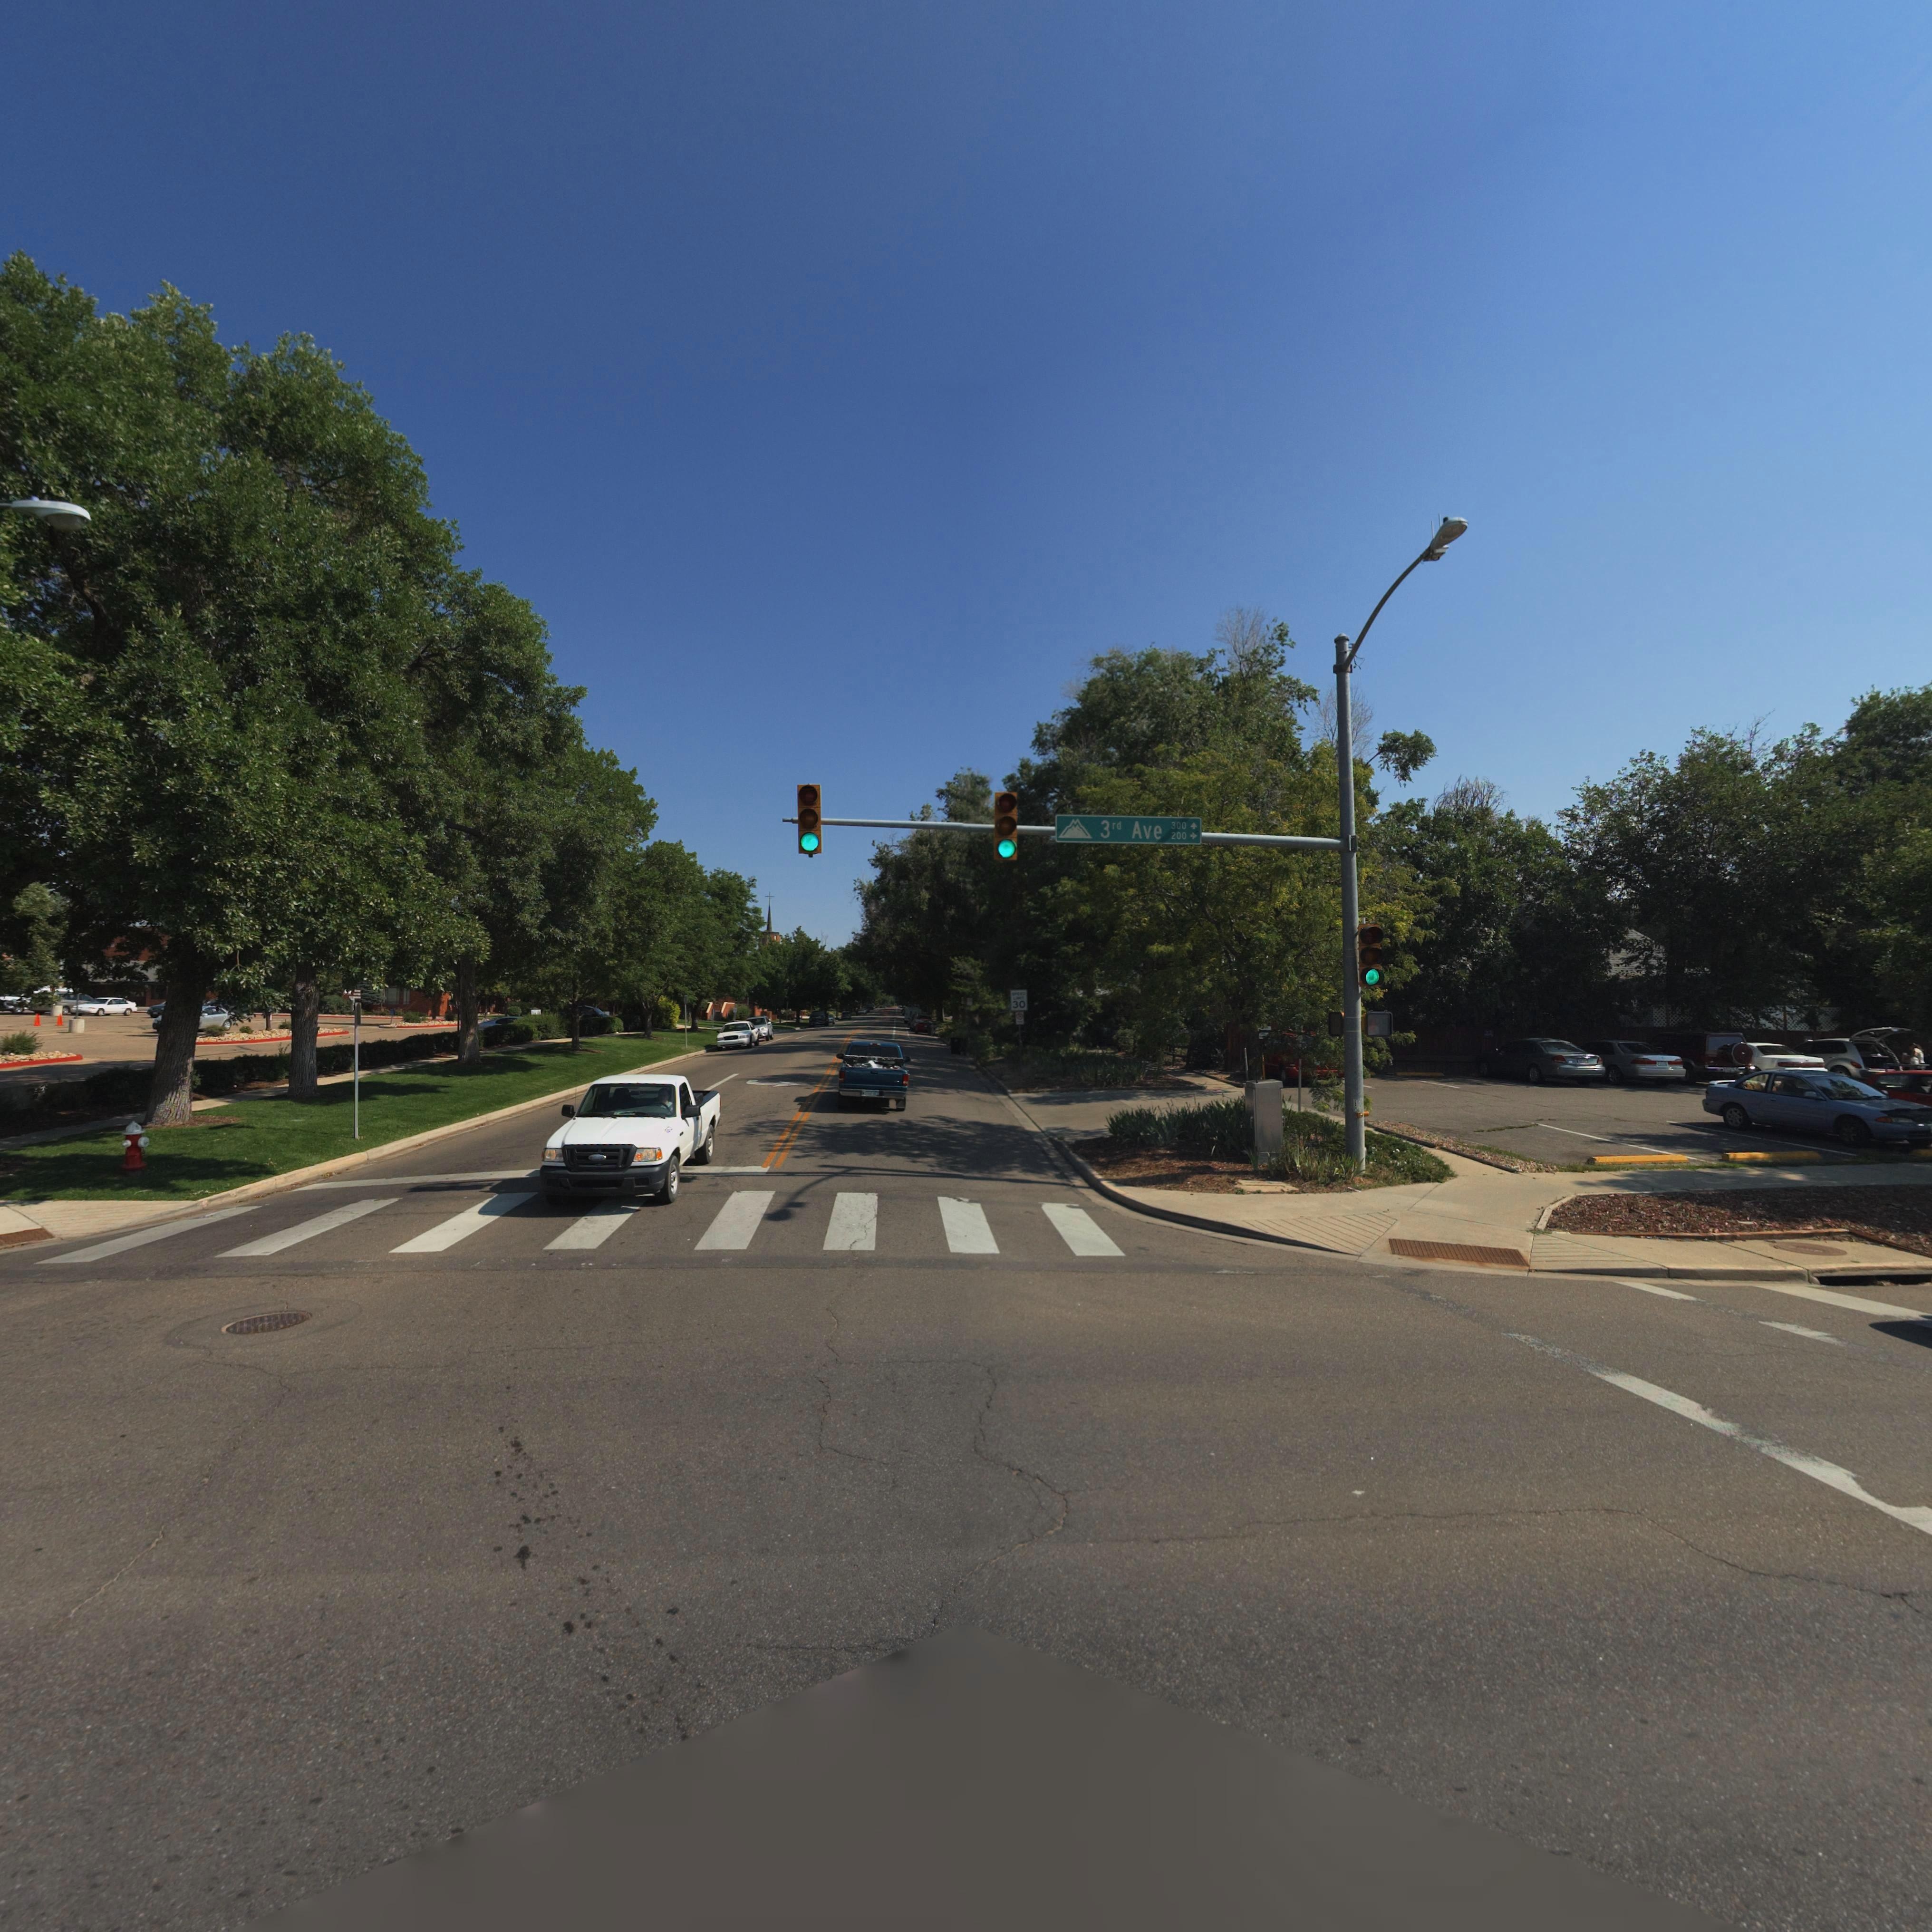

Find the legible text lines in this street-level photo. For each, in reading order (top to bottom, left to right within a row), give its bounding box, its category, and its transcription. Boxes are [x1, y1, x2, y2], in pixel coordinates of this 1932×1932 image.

[1099, 820, 1163, 840] StreetName: 3rd Ave
[1170, 821, 1187, 830] StreetNumberRange: 300
[1170, 831, 1198, 840] StreetNumberRange: 200->